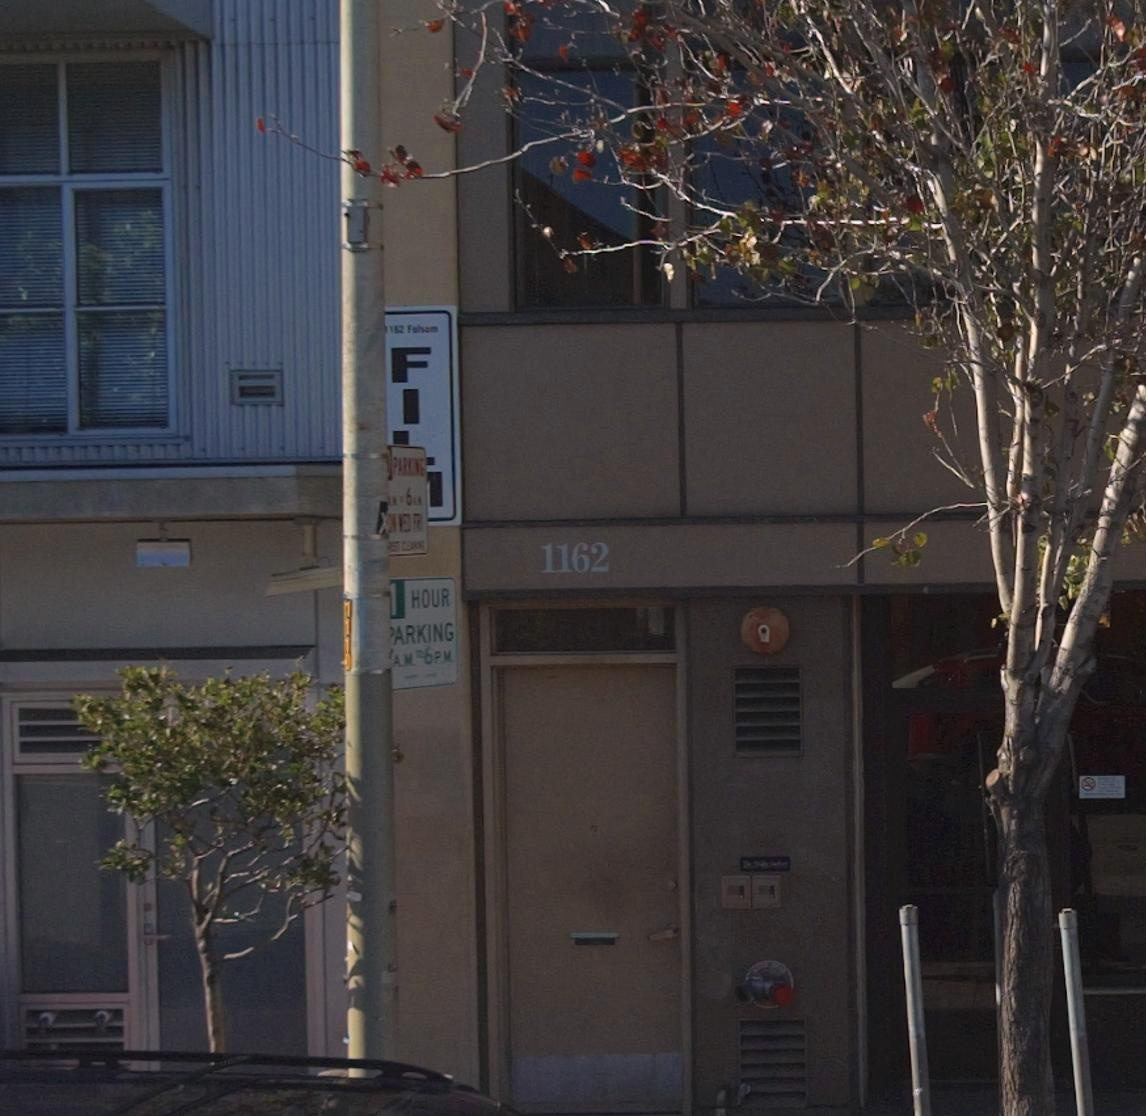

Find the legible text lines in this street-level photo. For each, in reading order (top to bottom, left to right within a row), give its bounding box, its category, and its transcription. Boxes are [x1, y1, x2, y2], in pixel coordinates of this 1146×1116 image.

[382, 323, 406, 335] StreetNumber: 1162
[406, 322, 440, 335] StreetName: Folsom
[388, 345, 436, 428] None: FI
[391, 454, 428, 477] None: PARKING
[404, 486, 413, 507] None: 6
[396, 511, 426, 536] None: WED FRI
[539, 541, 611, 574] StreetNumber: 1162
[409, 586, 453, 610] None: HOUR
[391, 620, 456, 648] None: ARKING
[391, 643, 457, 669] None: AM*6PM